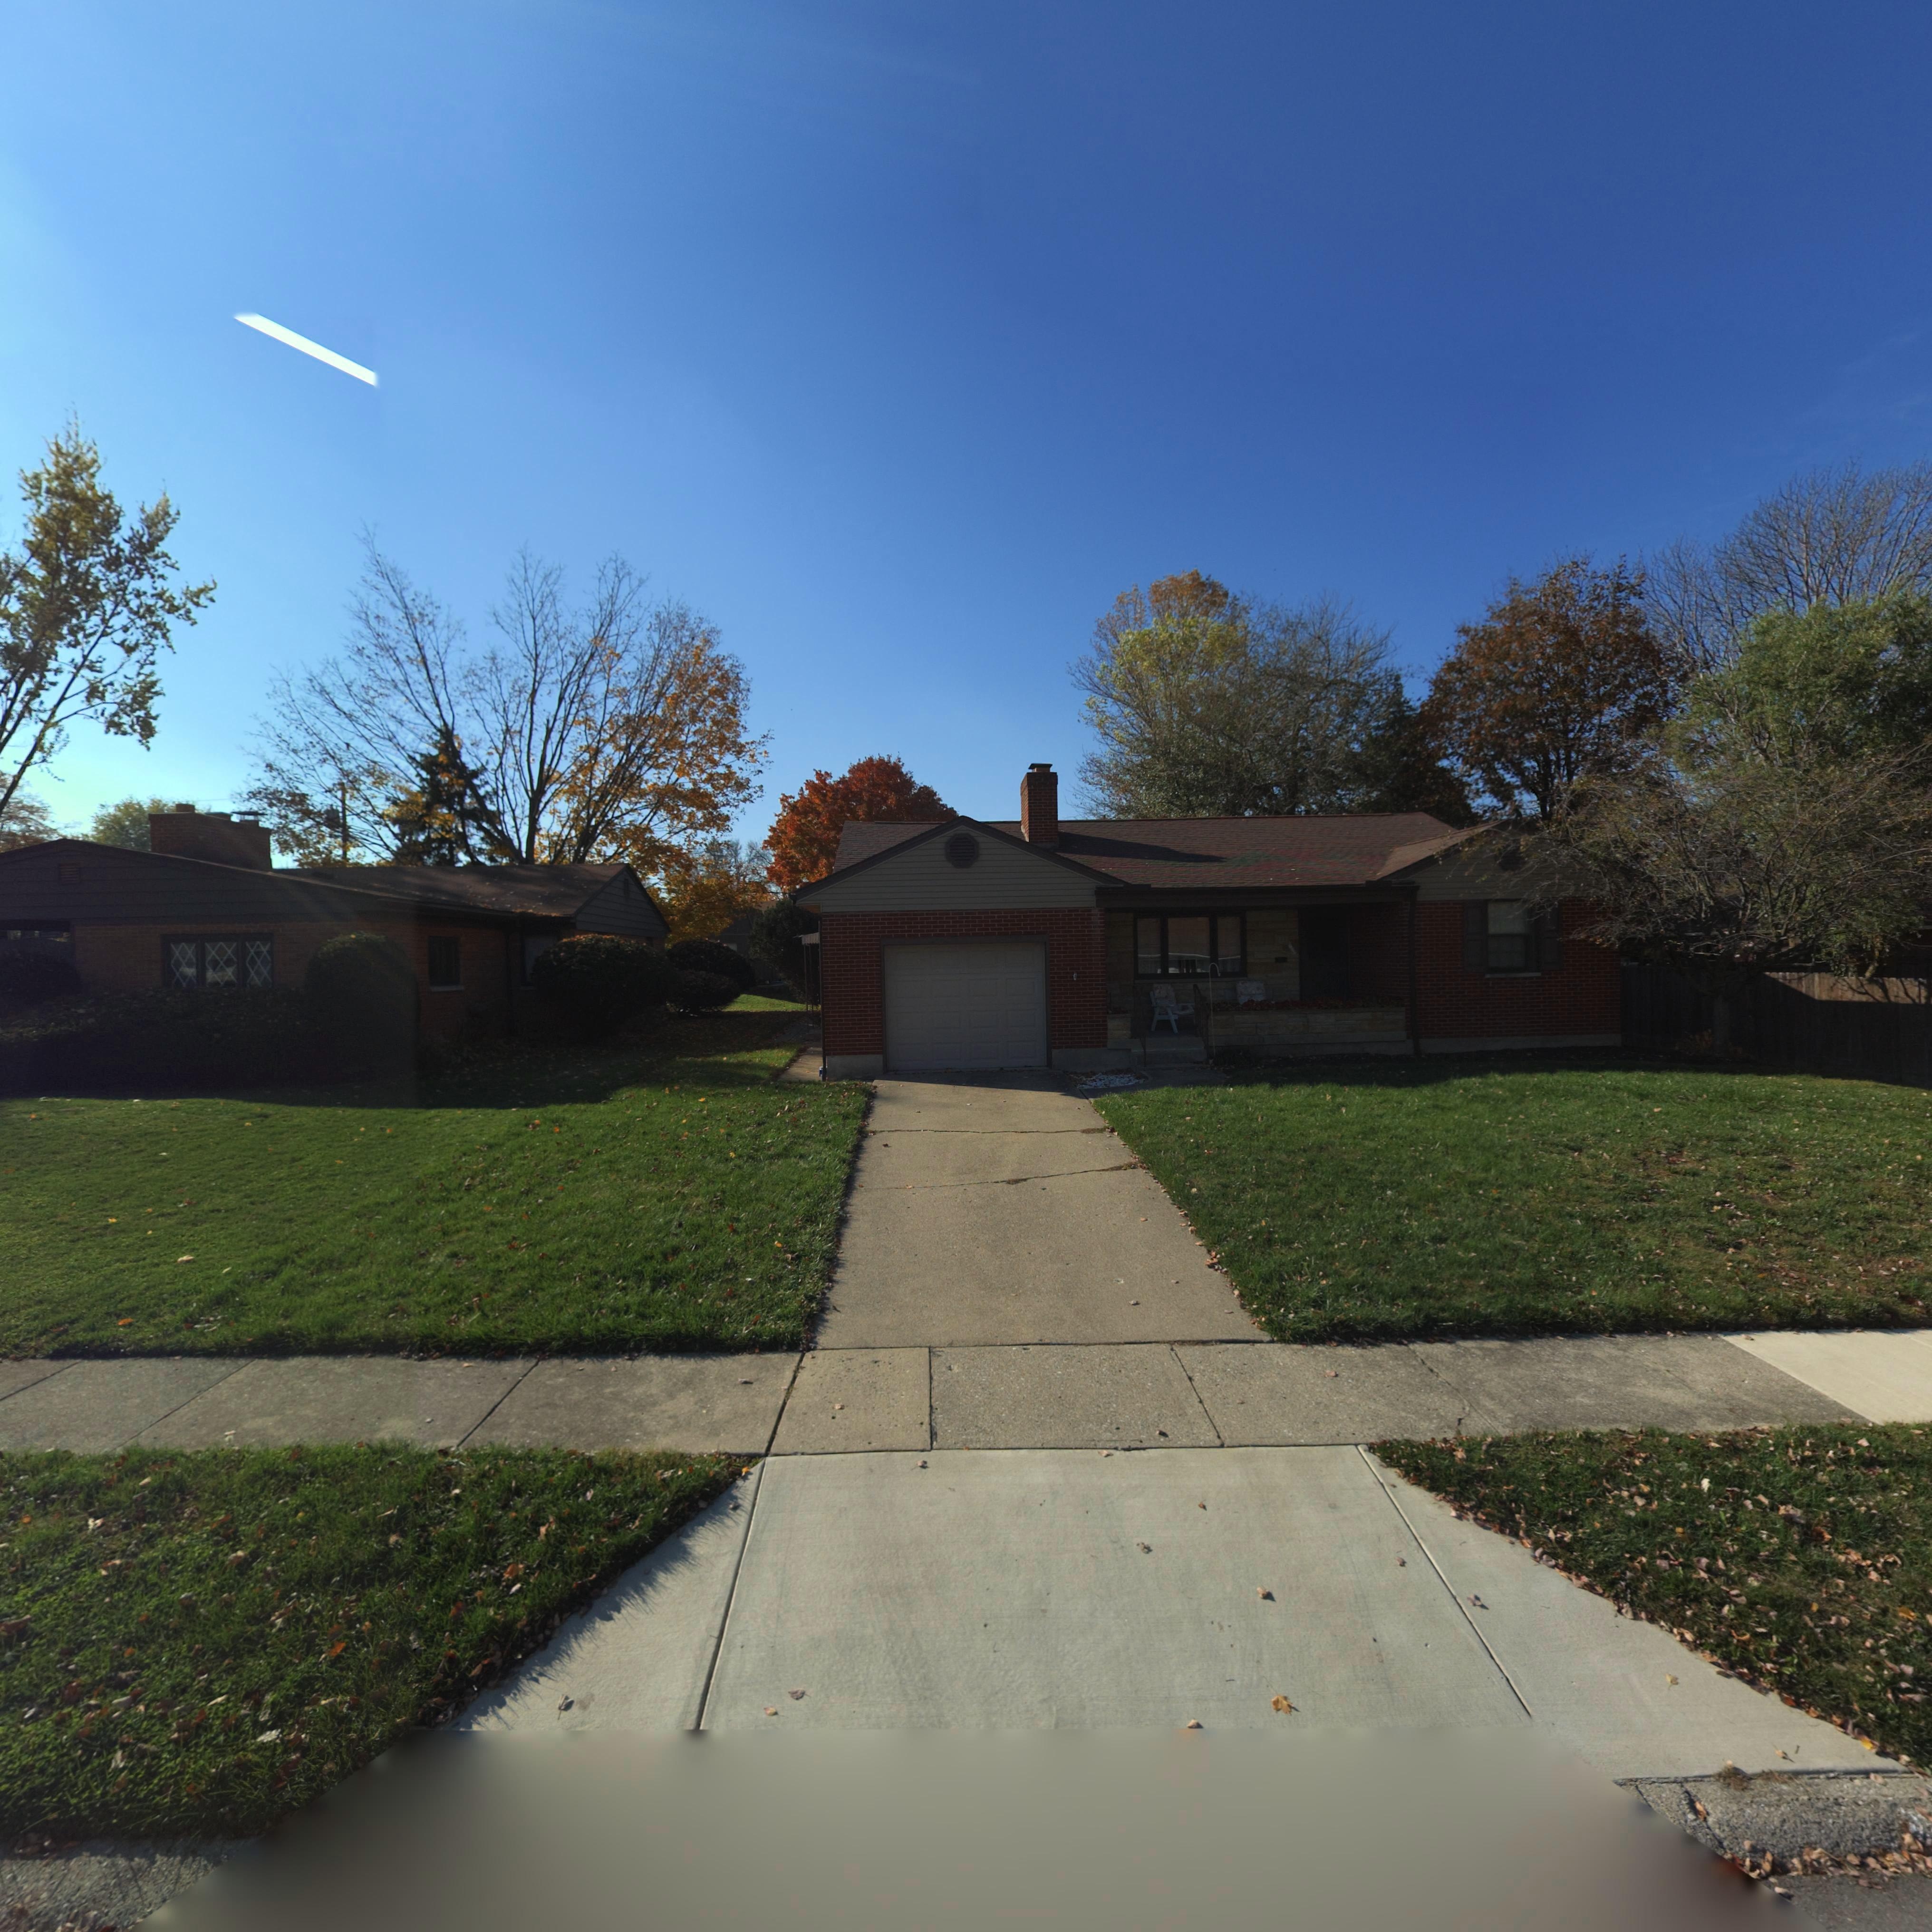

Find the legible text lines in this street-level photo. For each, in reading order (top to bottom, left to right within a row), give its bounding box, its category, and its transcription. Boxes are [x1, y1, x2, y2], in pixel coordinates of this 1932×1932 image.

[1275, 936, 1289, 944] StreetNumber: 1717